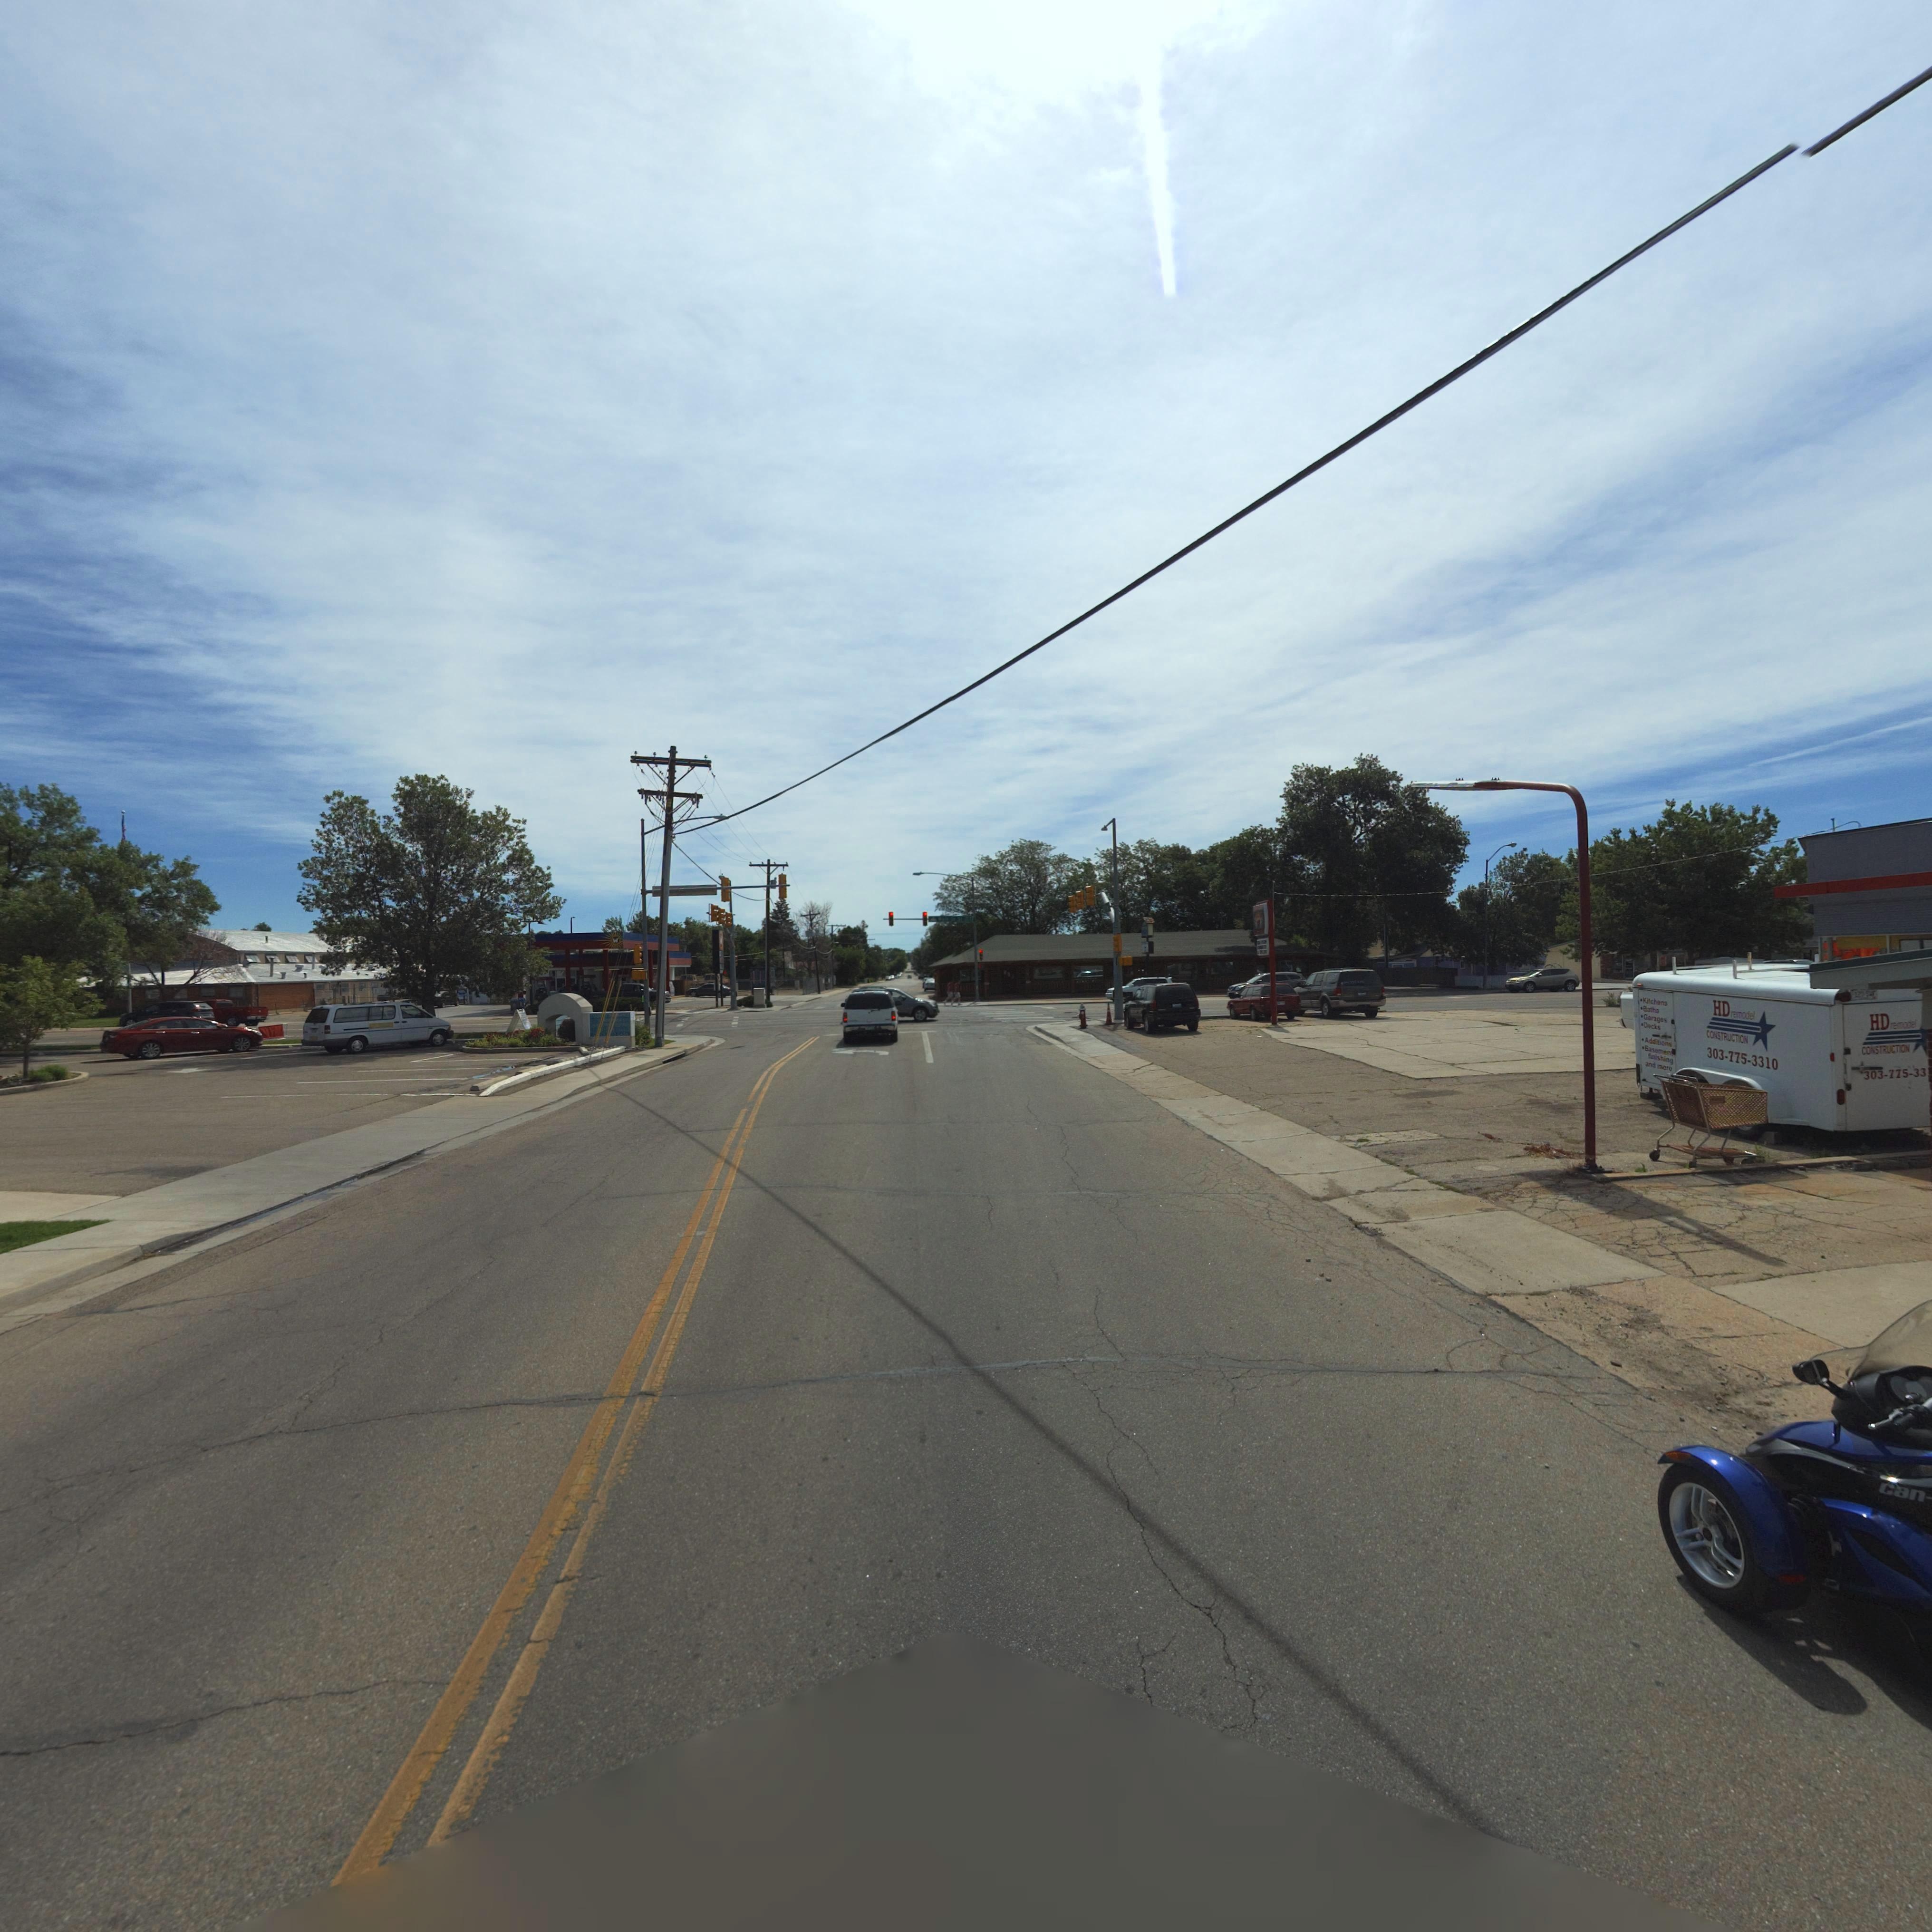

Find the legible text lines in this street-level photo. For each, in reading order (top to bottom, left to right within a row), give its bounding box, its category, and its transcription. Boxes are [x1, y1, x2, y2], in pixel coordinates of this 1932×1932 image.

[937, 916, 962, 922] StreetName: W**** ** St
[612, 938, 618, 943] BusinessName: W